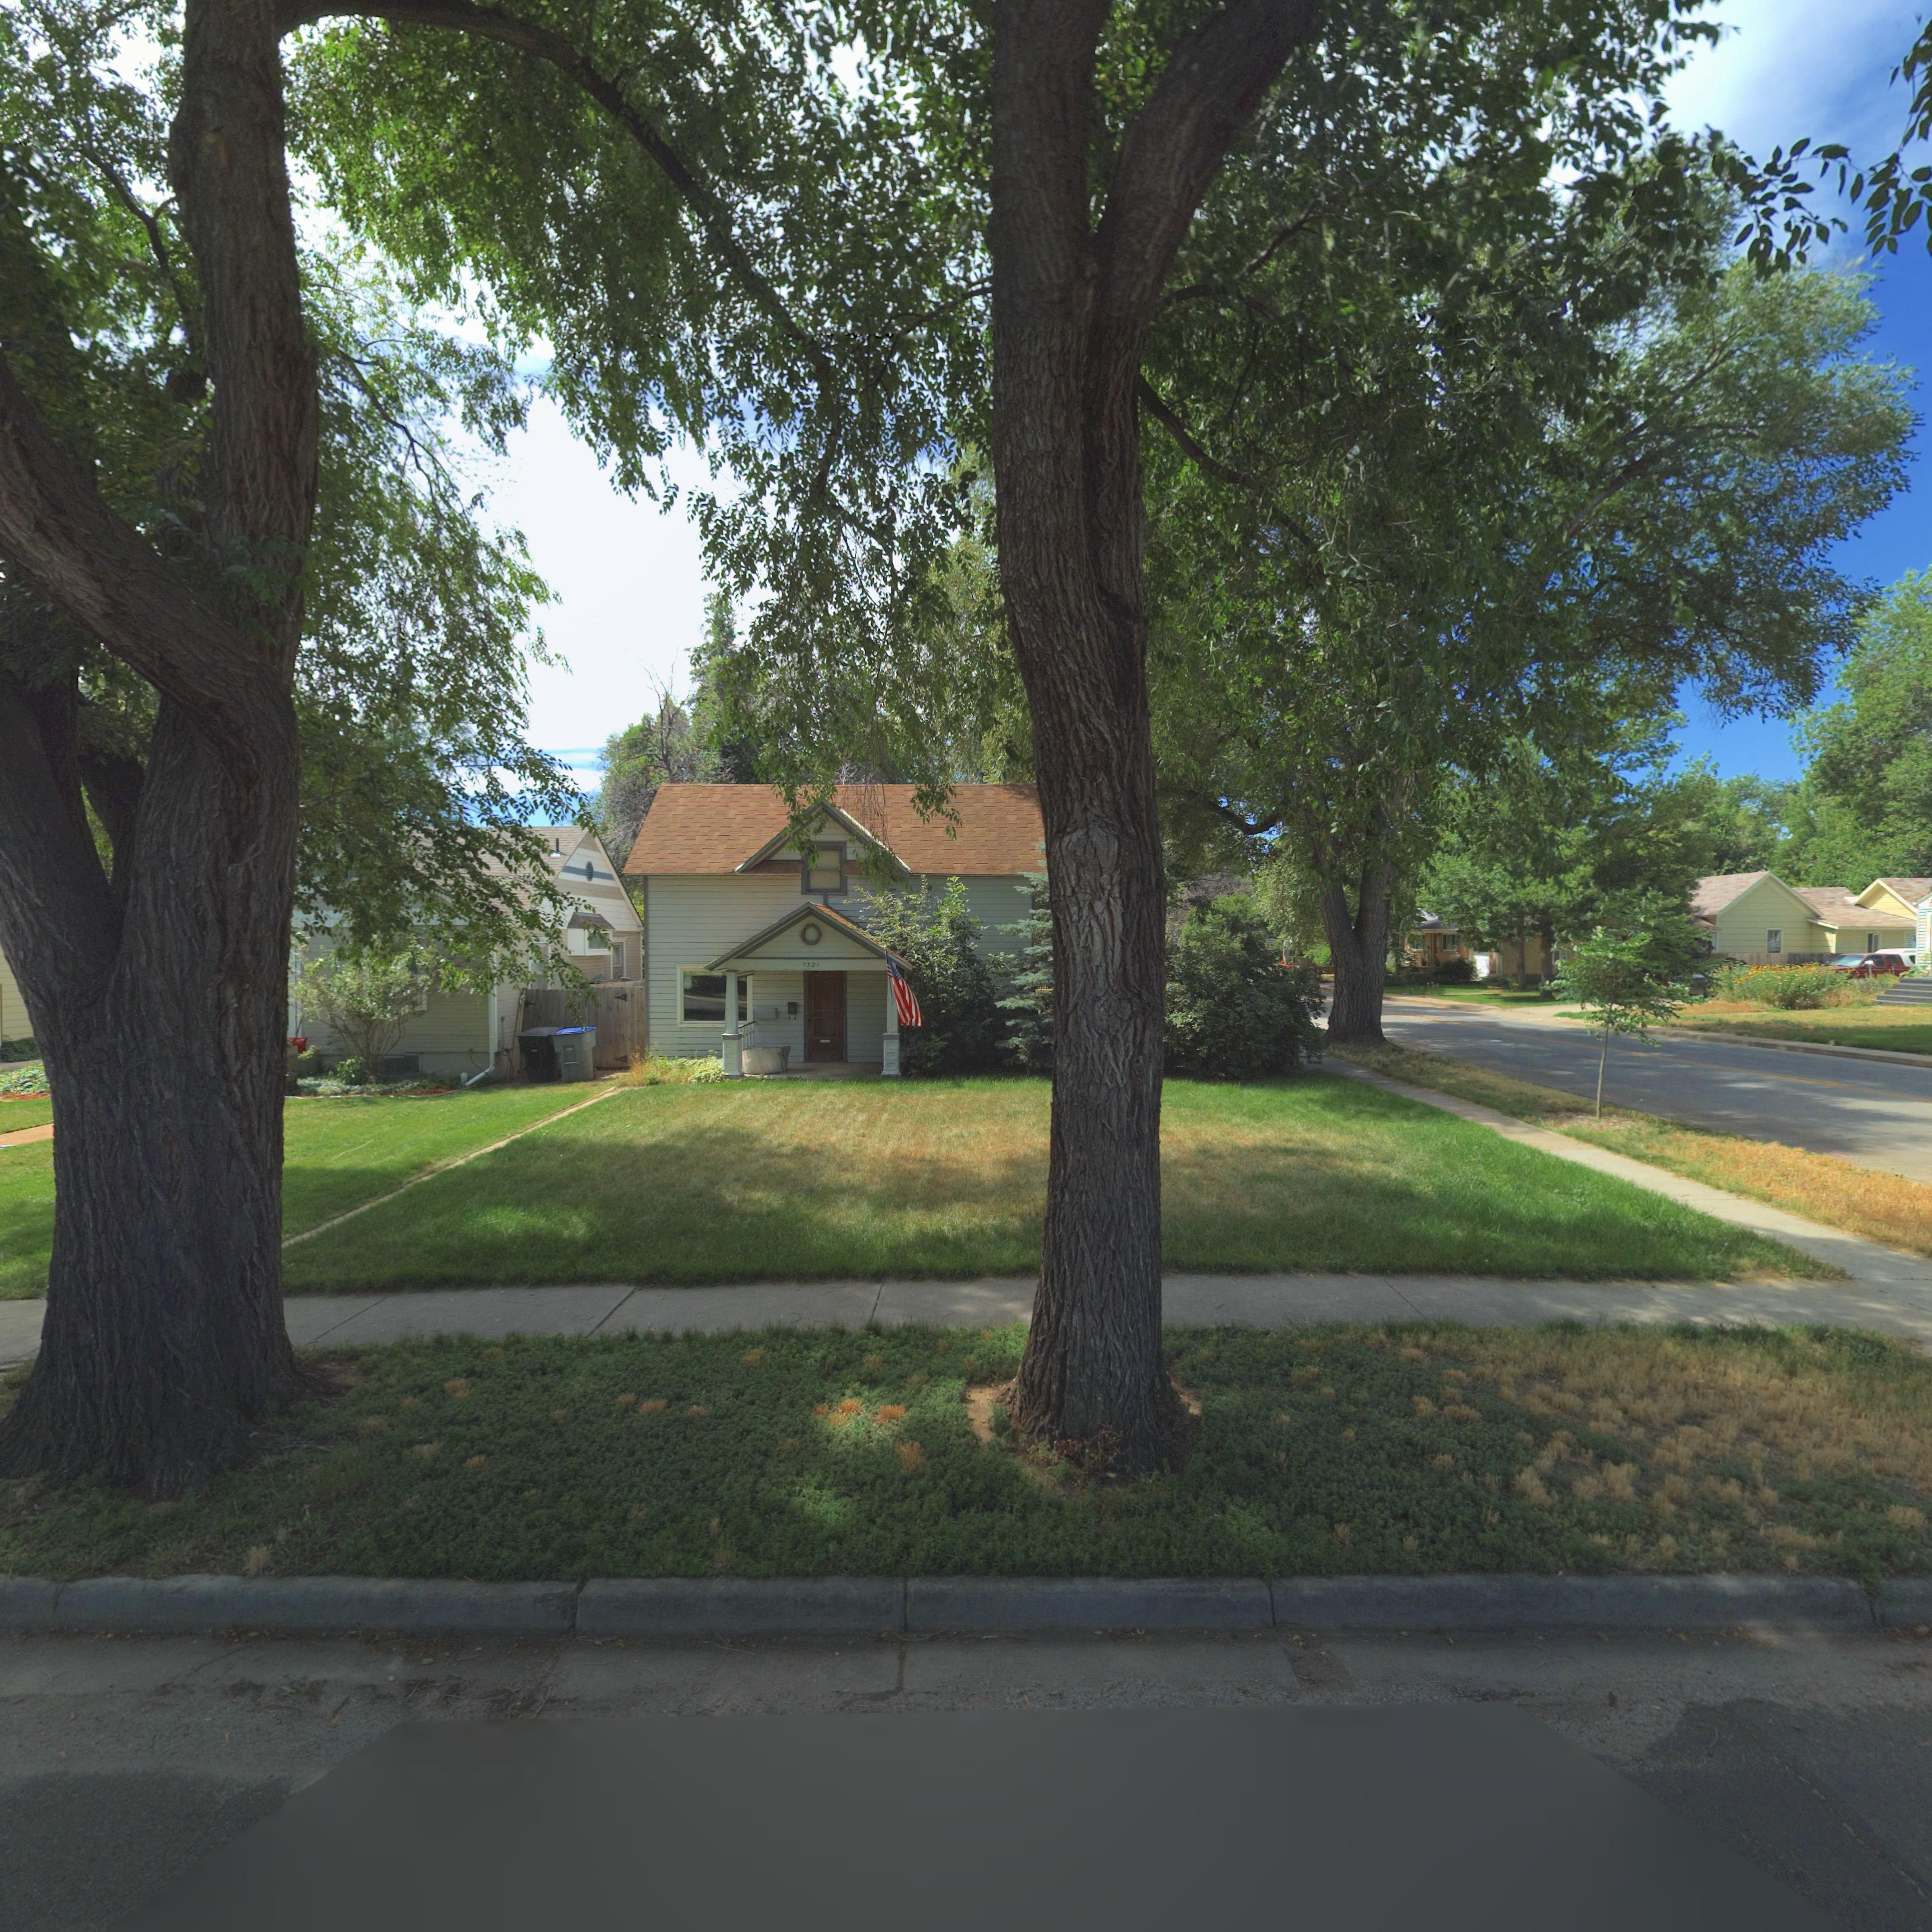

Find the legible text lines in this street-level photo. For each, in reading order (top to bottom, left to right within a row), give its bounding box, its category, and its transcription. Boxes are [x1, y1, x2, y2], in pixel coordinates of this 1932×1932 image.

[803, 962, 819, 966] StreetNumber: 1*21